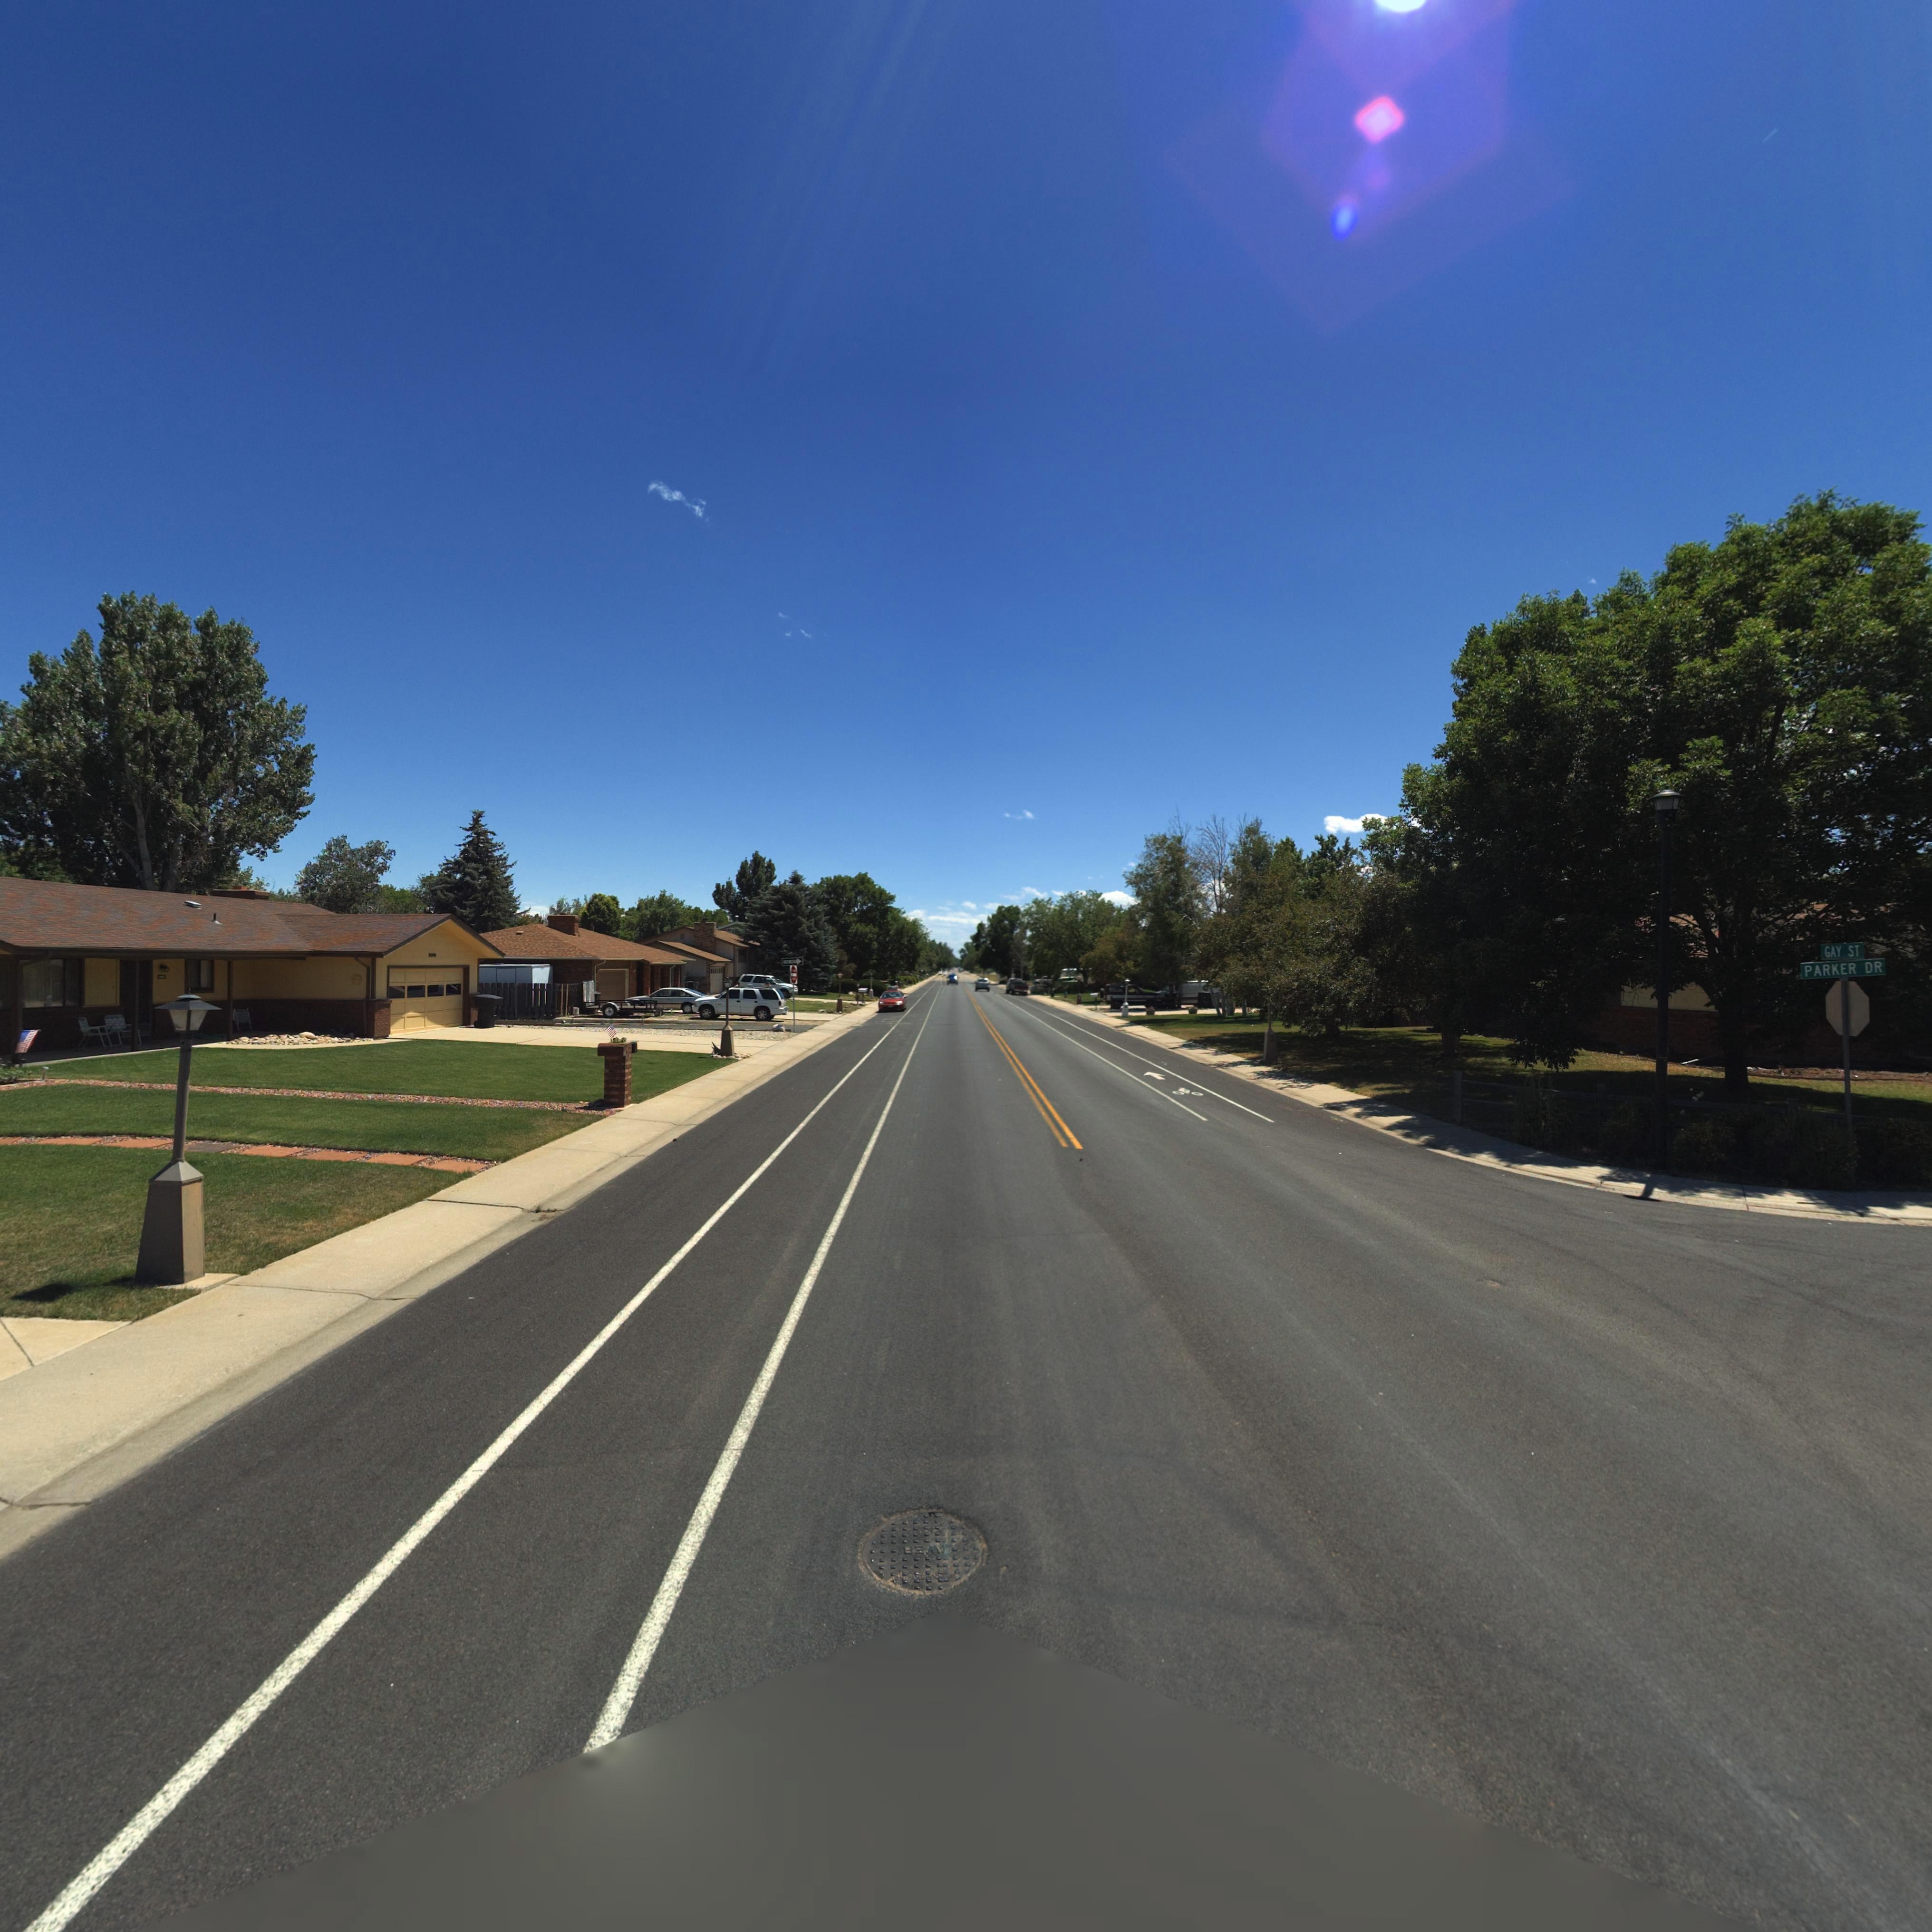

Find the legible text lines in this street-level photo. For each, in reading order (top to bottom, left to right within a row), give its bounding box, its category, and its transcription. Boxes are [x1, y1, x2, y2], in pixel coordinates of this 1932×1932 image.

[1825, 945, 1859, 958] StreetName: GAY ST
[1805, 961, 1883, 977] StreetName: PARKER DR